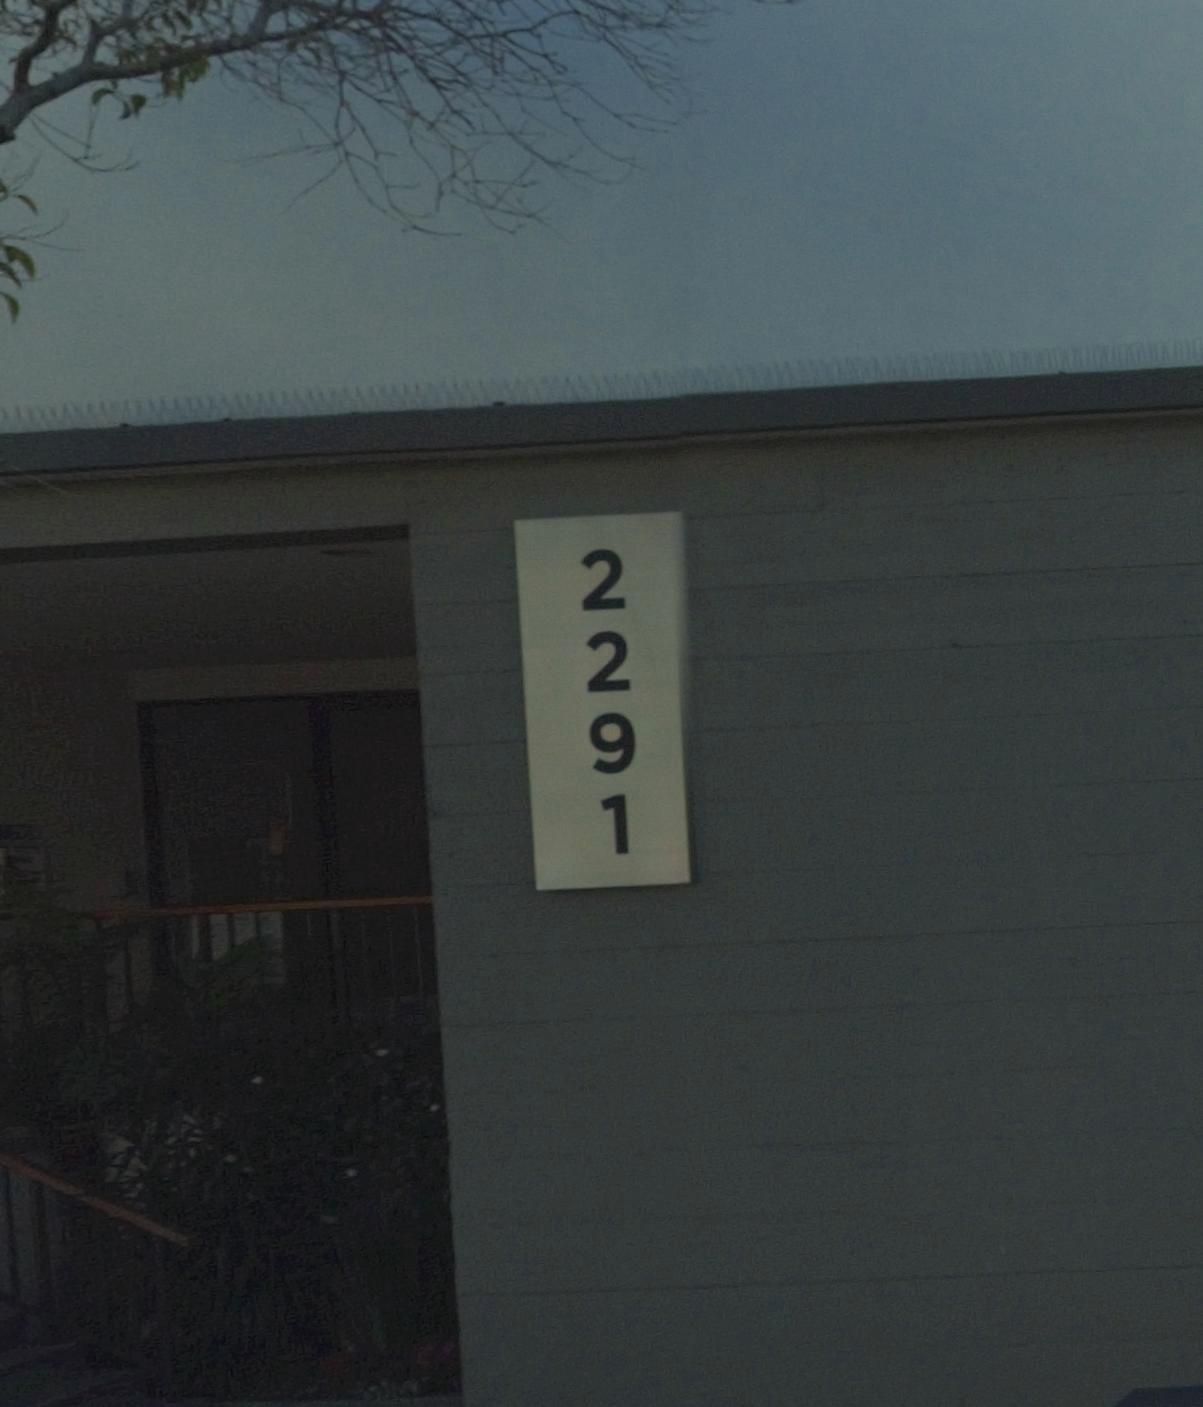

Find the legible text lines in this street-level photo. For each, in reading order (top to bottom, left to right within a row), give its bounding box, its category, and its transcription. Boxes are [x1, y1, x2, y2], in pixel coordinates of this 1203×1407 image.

[578, 544, 639, 859] StreetNumber: 2291